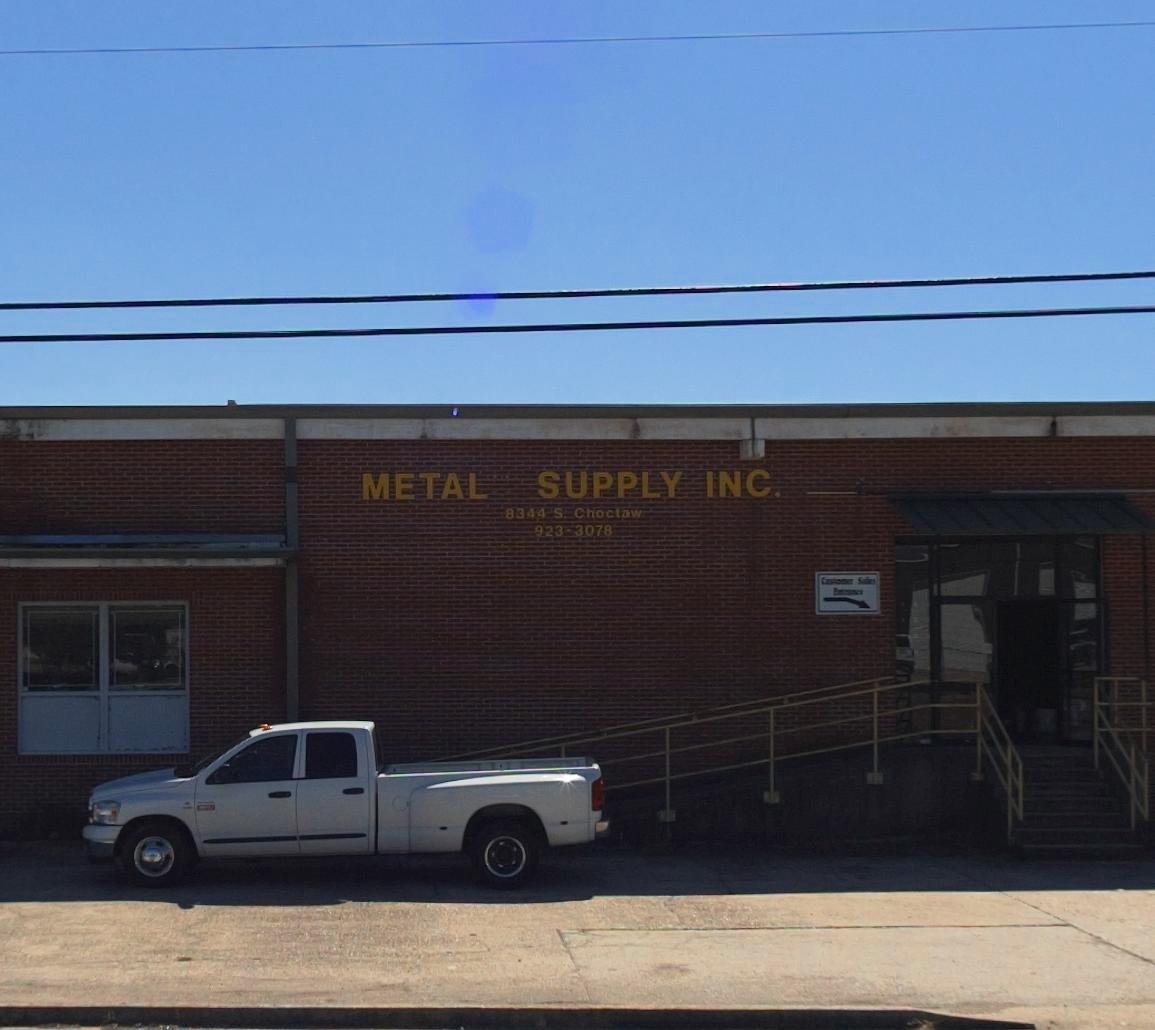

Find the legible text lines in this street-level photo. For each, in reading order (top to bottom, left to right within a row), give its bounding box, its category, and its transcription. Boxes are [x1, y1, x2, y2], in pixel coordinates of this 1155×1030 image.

[362, 468, 784, 501] BusinessName: METAL SUPPLY INC.
[505, 507, 548, 520] StreetNumber: 8344
[552, 507, 642, 520] StreetName: S. Choctaw
[533, 524, 613, 537] None: 923-3078
[821, 576, 876, 585] None: Customer Sales